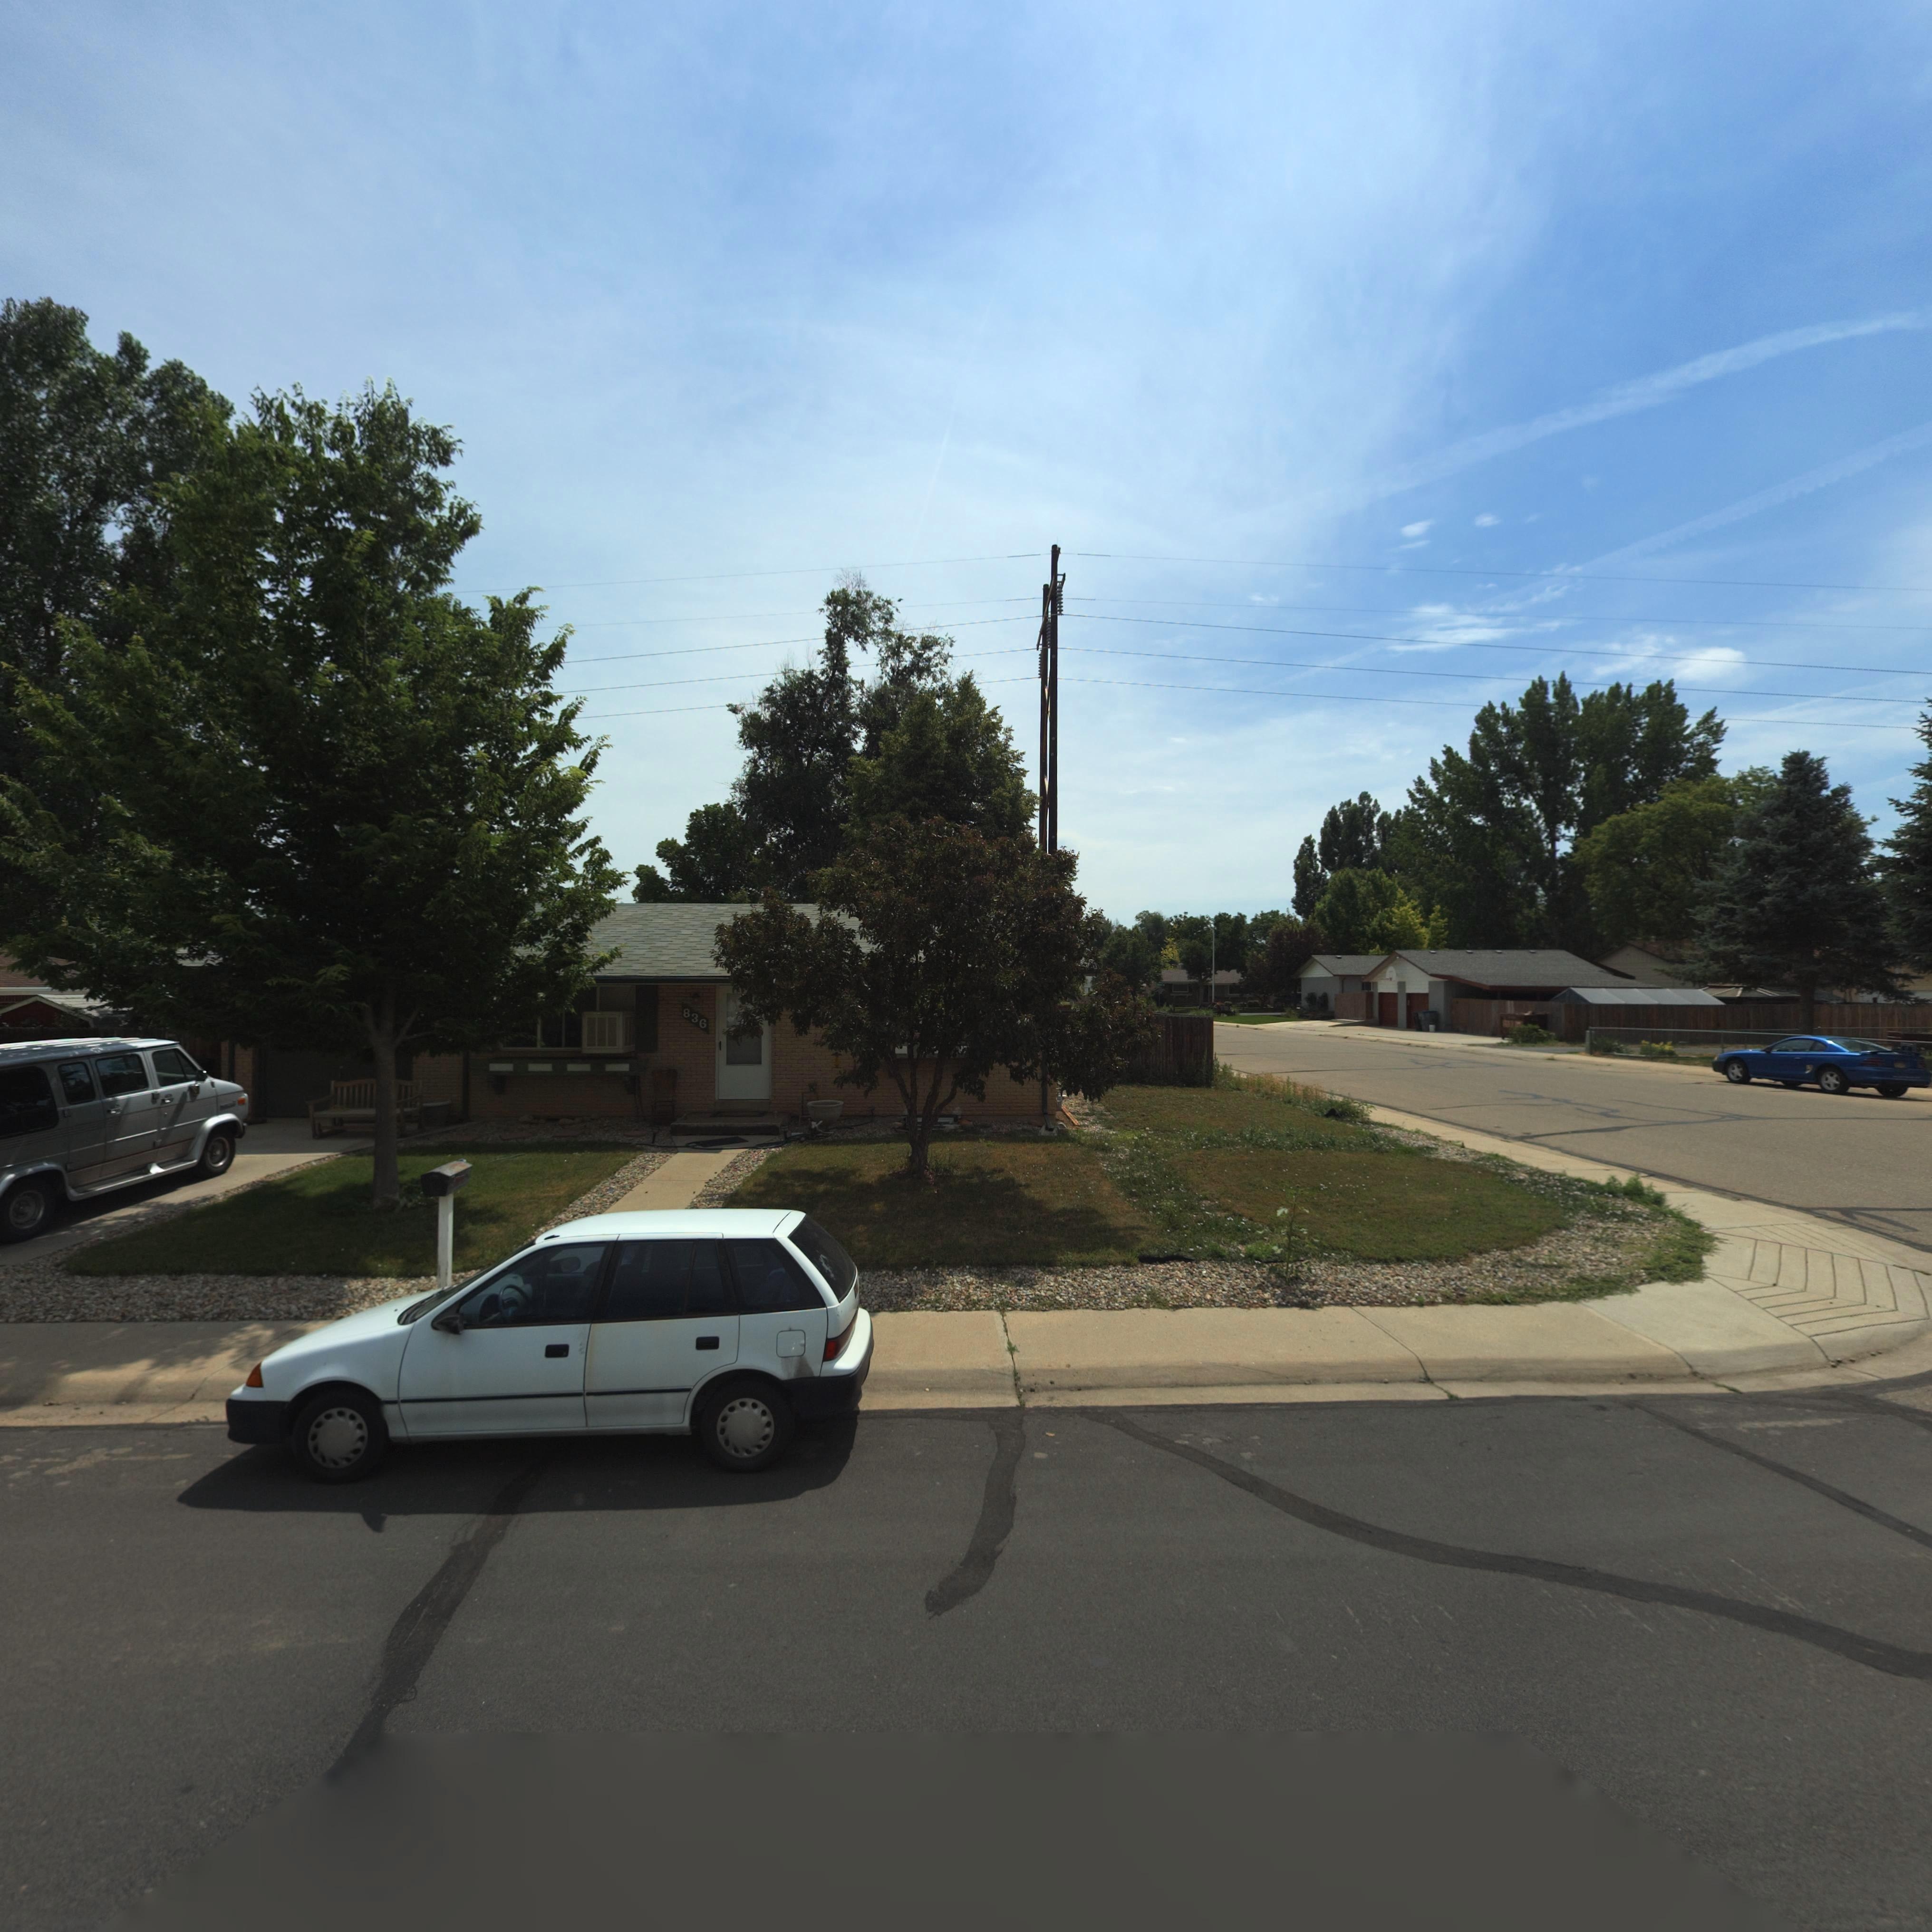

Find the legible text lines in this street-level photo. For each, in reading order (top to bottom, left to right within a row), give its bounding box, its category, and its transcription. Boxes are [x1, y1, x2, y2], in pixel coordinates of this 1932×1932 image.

[683, 1007, 707, 1029] StreetNumber: 836